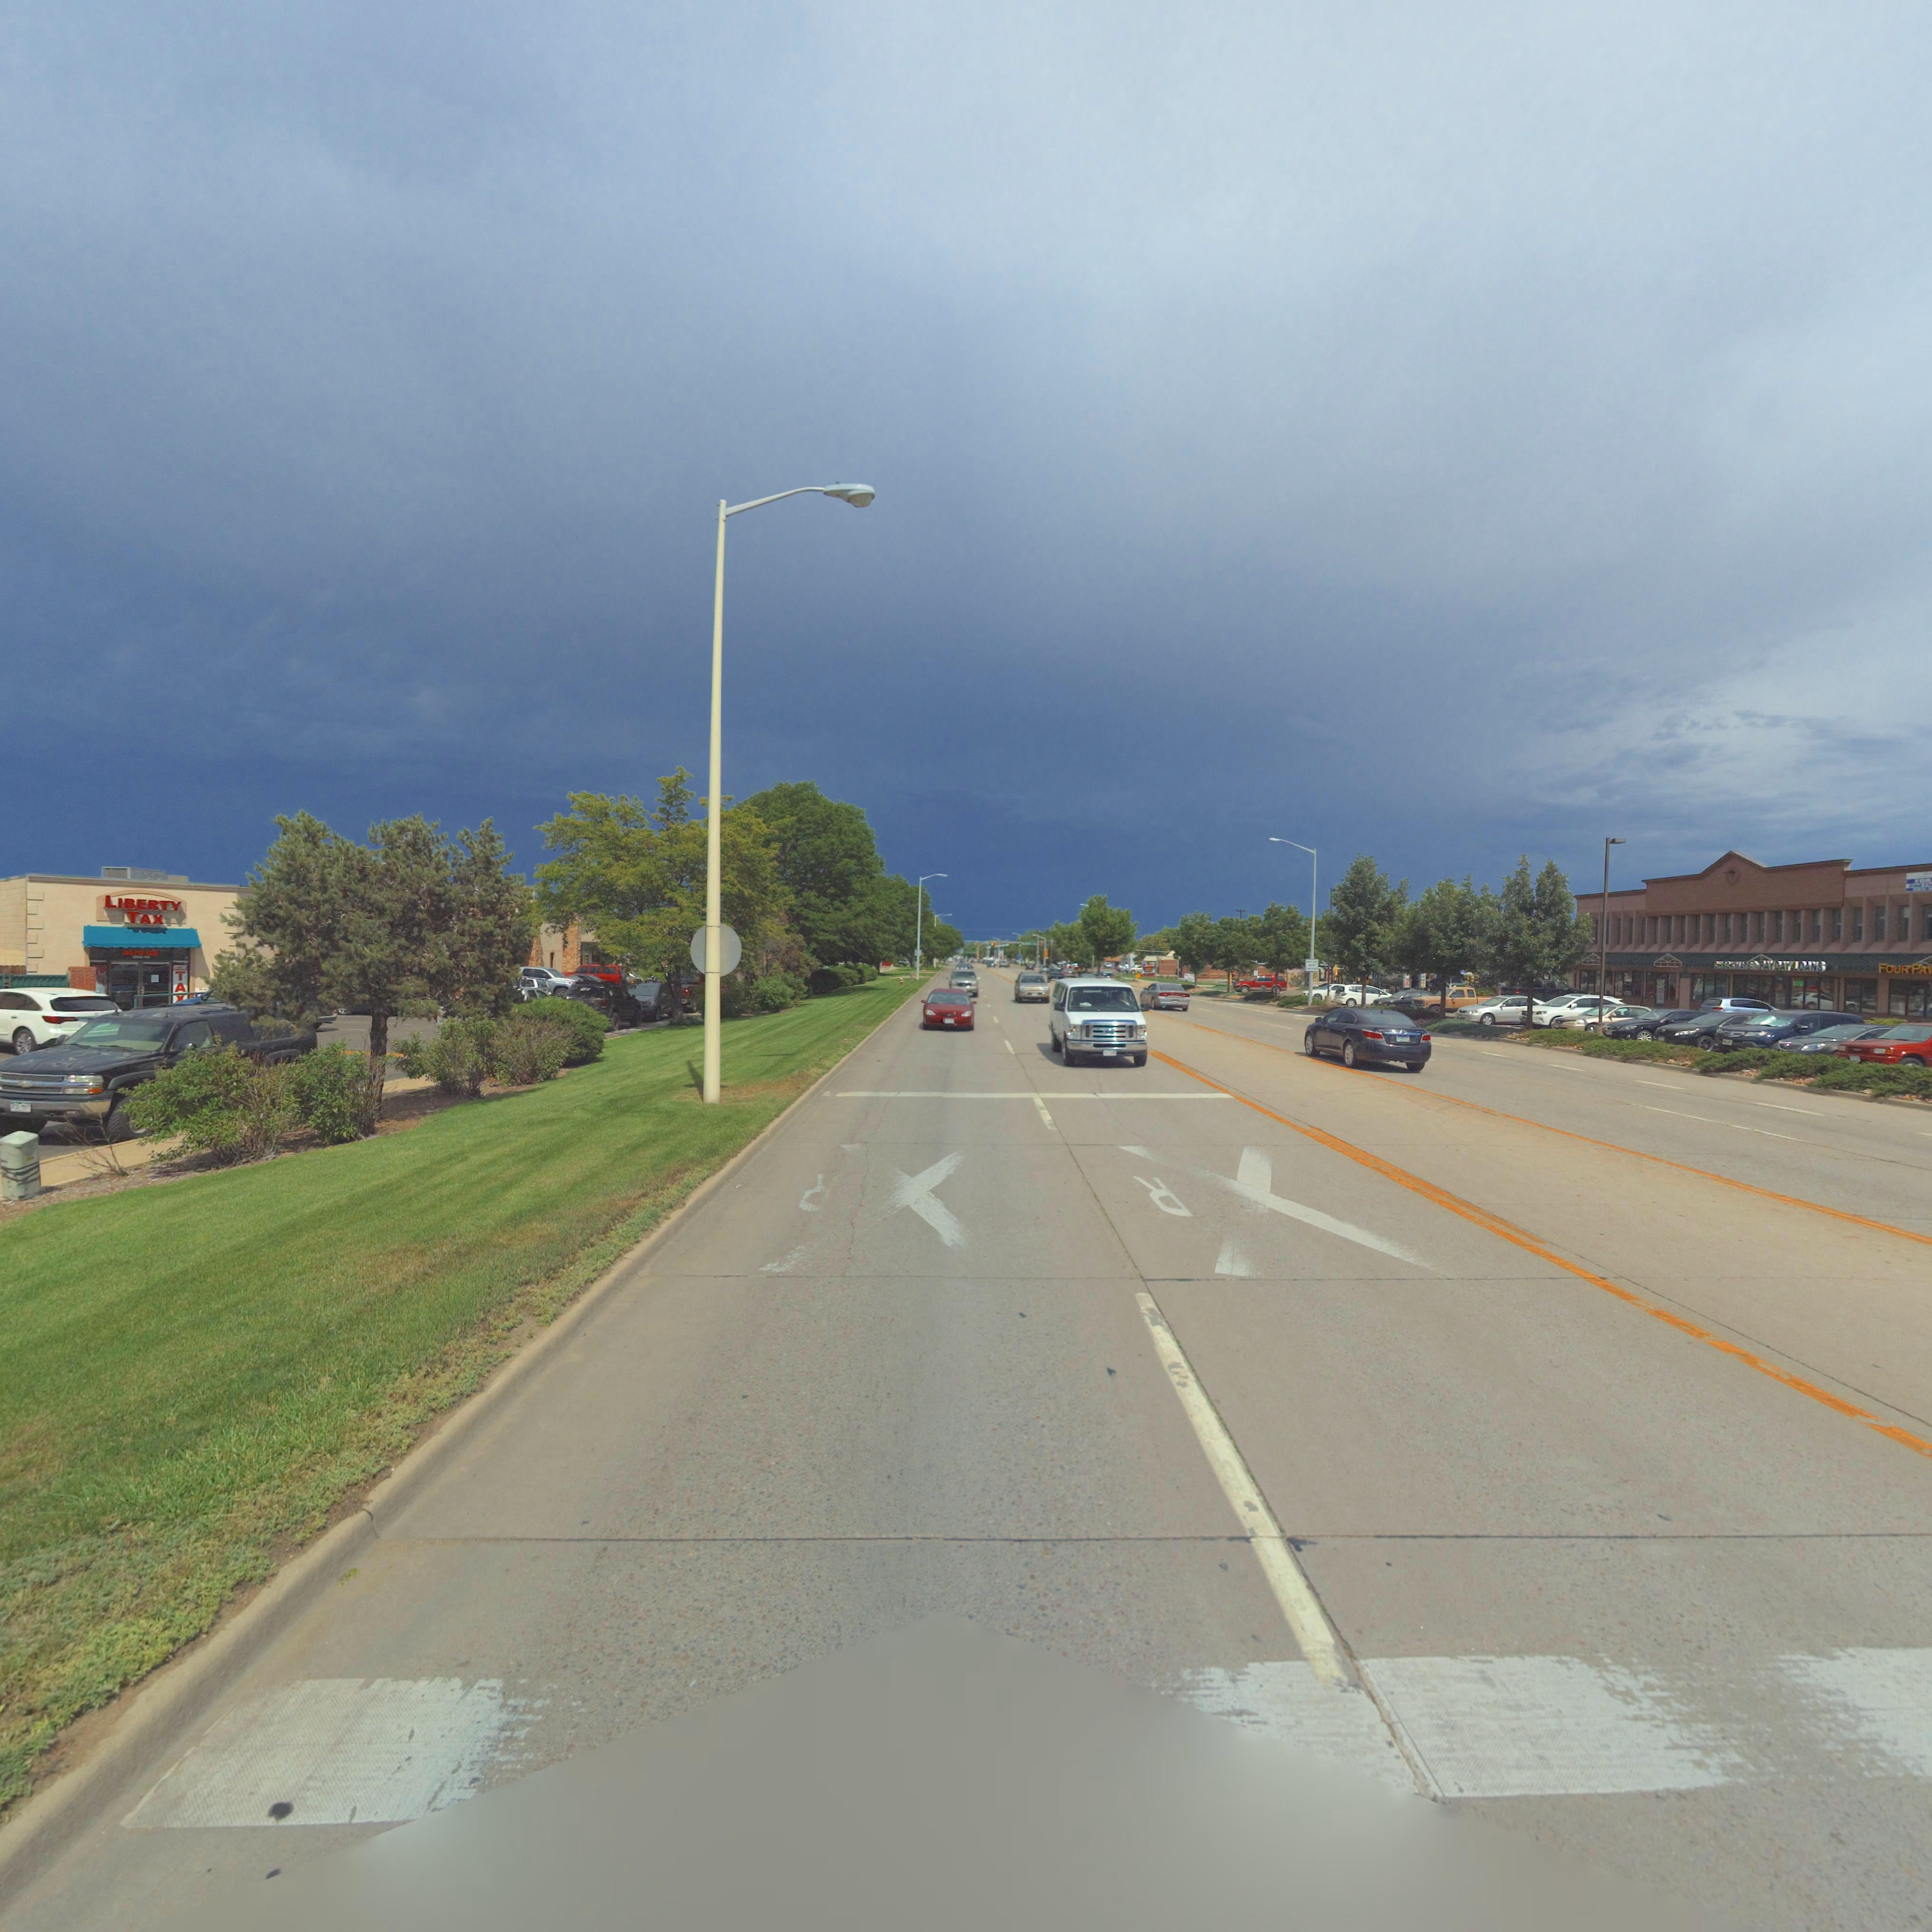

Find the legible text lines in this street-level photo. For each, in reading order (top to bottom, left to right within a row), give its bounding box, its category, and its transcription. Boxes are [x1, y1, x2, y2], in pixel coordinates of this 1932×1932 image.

[104, 895, 182, 911] BusinessName: LIBERTY
[126, 910, 164, 924] BusinessName: TAX
[1713, 959, 1826, 972] BusinessName: CHECKMATE * PAYDAY LOANS
[1878, 963, 1928, 974] BusinessName: FOUR PA